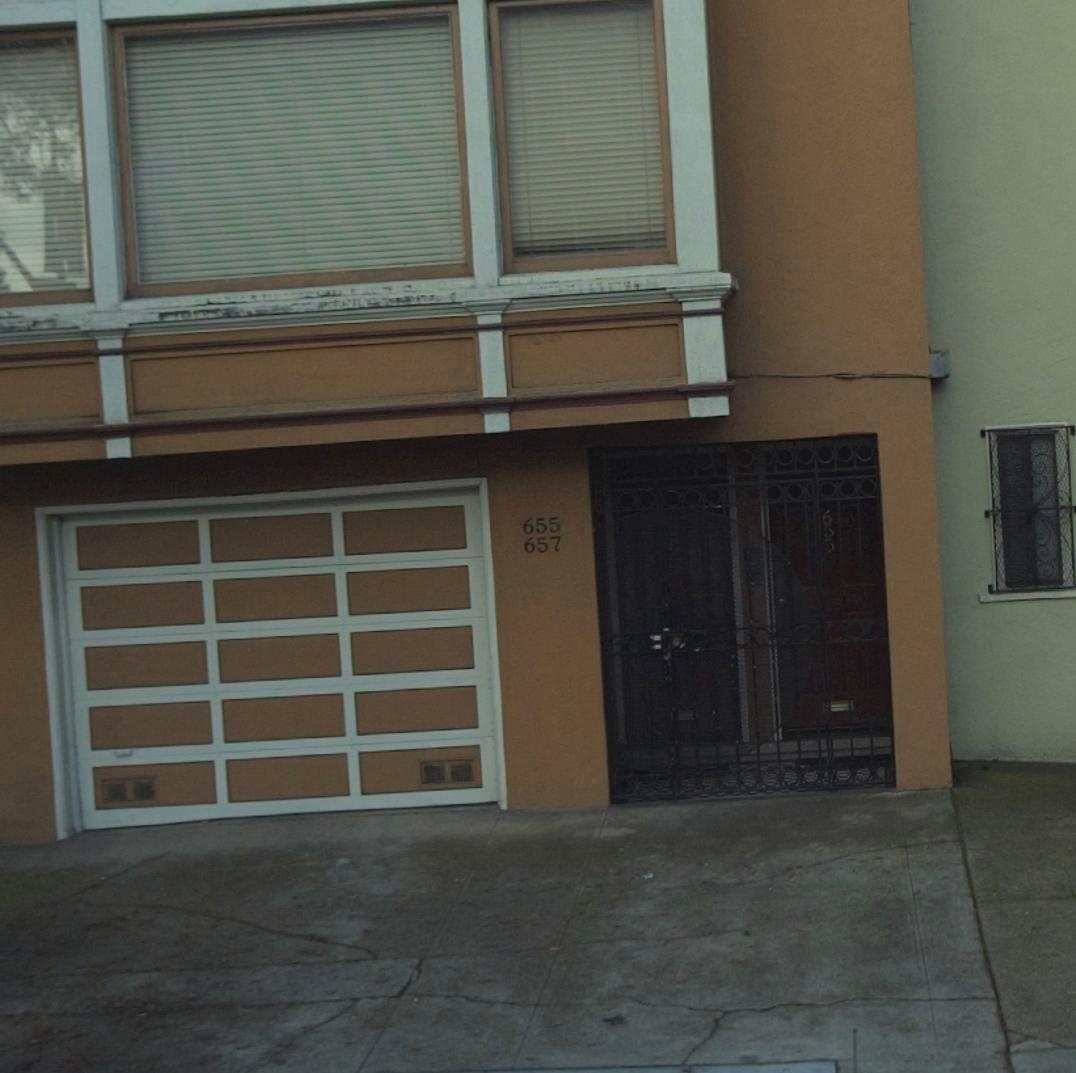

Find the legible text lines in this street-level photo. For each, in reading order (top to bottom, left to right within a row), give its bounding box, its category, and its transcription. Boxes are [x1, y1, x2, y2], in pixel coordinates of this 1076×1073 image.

[519, 514, 562, 538] StreetNumber: 655
[521, 533, 563, 556] StreetNumber: 657